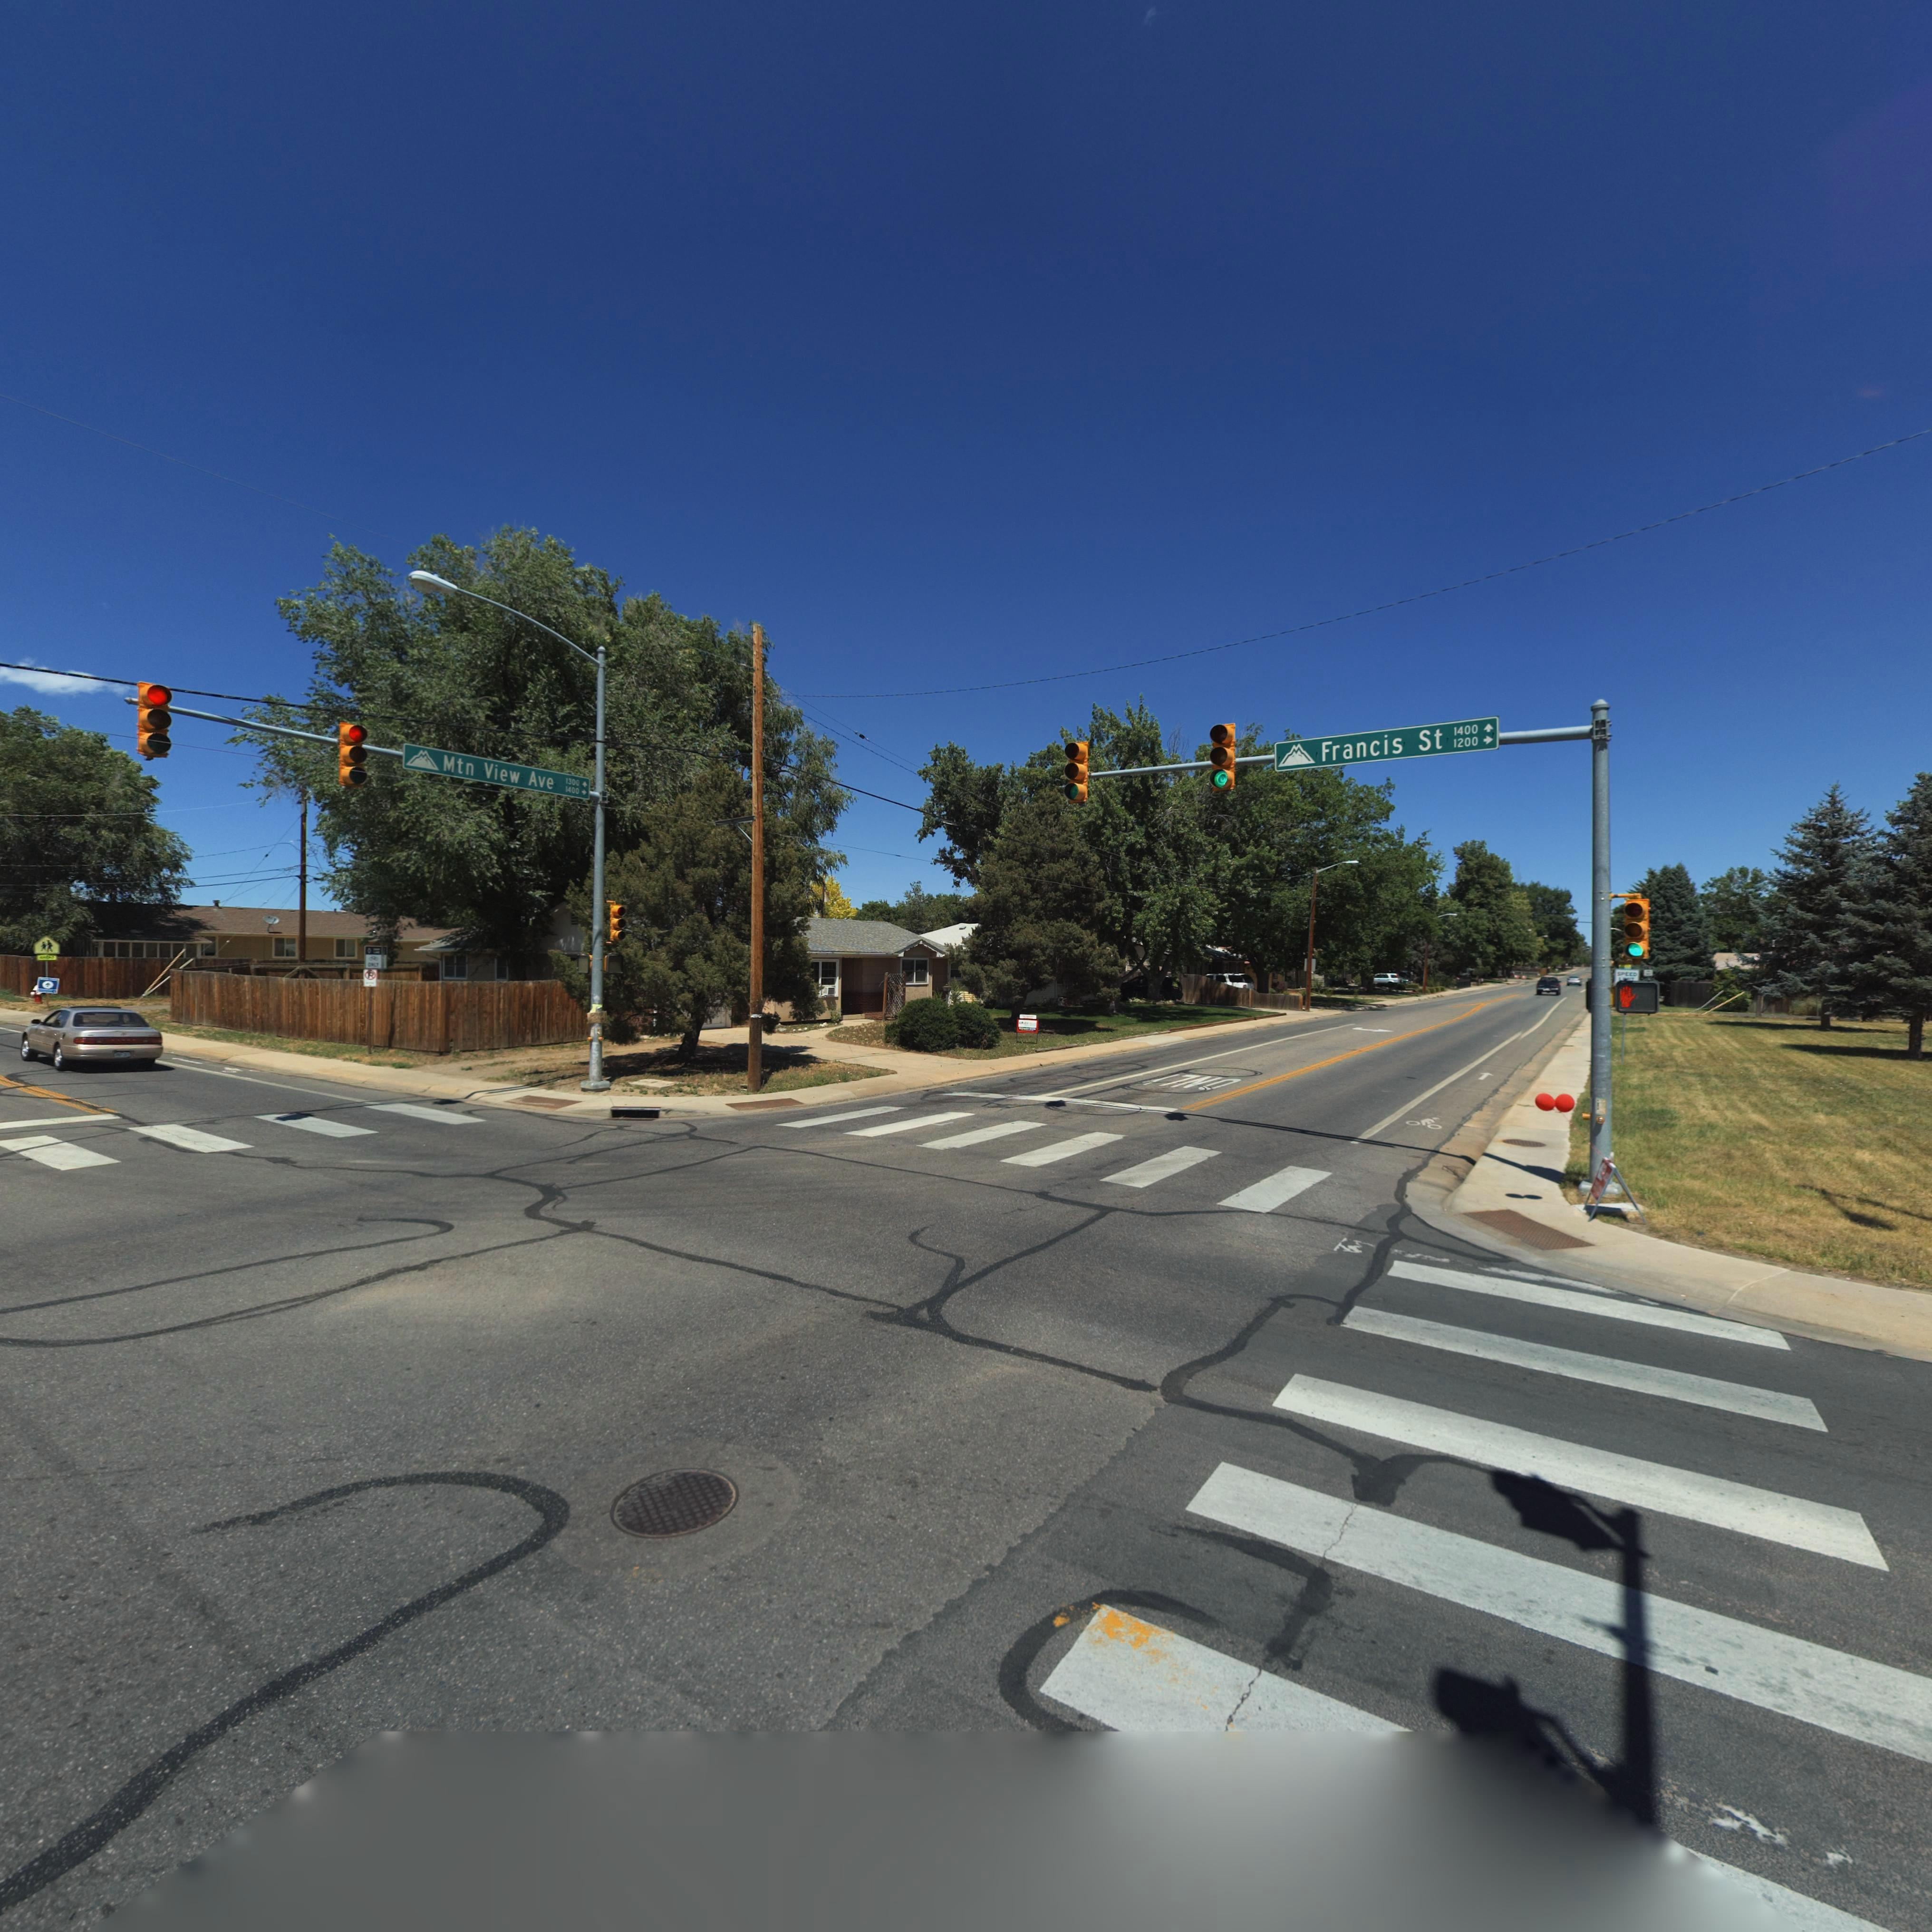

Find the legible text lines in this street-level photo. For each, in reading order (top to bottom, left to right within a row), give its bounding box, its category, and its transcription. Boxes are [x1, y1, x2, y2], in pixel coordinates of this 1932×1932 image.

[1454, 724, 1478, 736] StreetNumberRange: 1400
[1322, 728, 1443, 762] StreetName: Francis St
[1453, 734, 1494, 748] StreetNumberRange: 1200 ->
[442, 754, 554, 790] StreetName: Mtn View Ave
[565, 777, 580, 786] StreetNumberRange: 1300
[565, 785, 587, 795] StreetNumberRange: 1400 ->